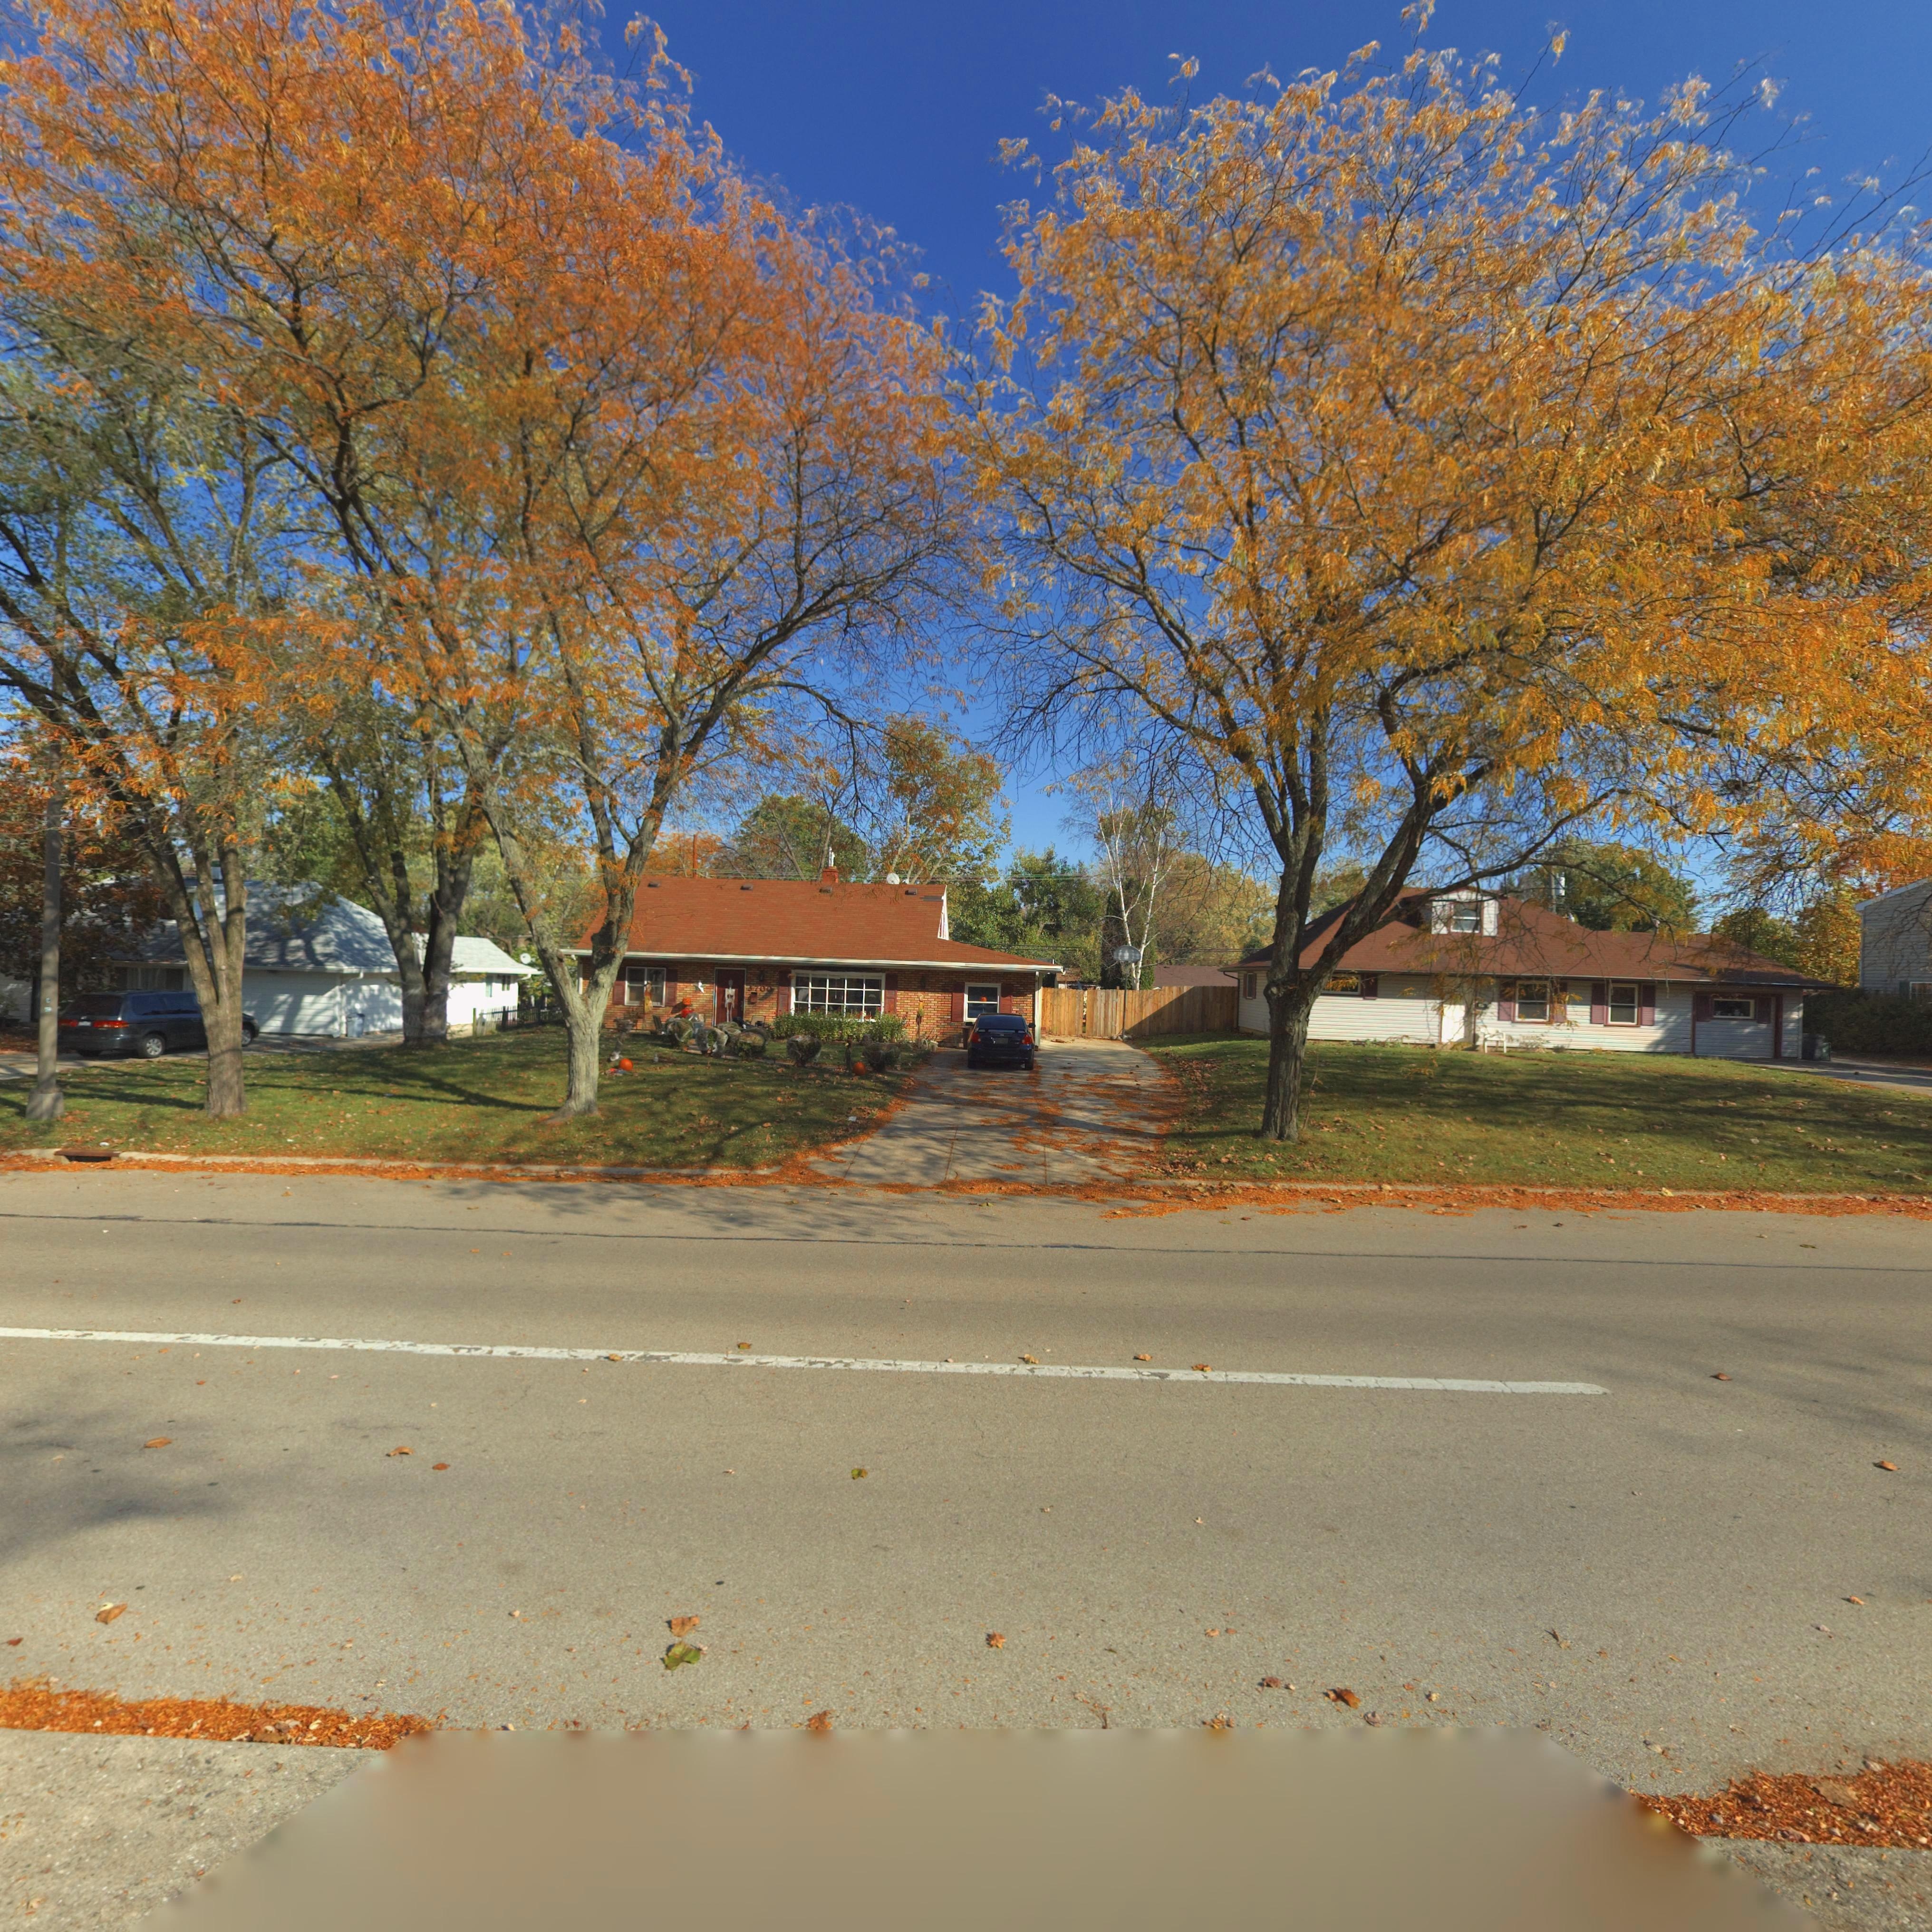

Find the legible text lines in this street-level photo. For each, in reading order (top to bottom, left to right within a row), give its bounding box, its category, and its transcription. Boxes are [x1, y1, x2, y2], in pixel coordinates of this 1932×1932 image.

[747, 984, 773, 993] StreetNumber: 3700
[46, 997, 51, 1004] None: C
[44, 1006, 52, 1012] None: 5*